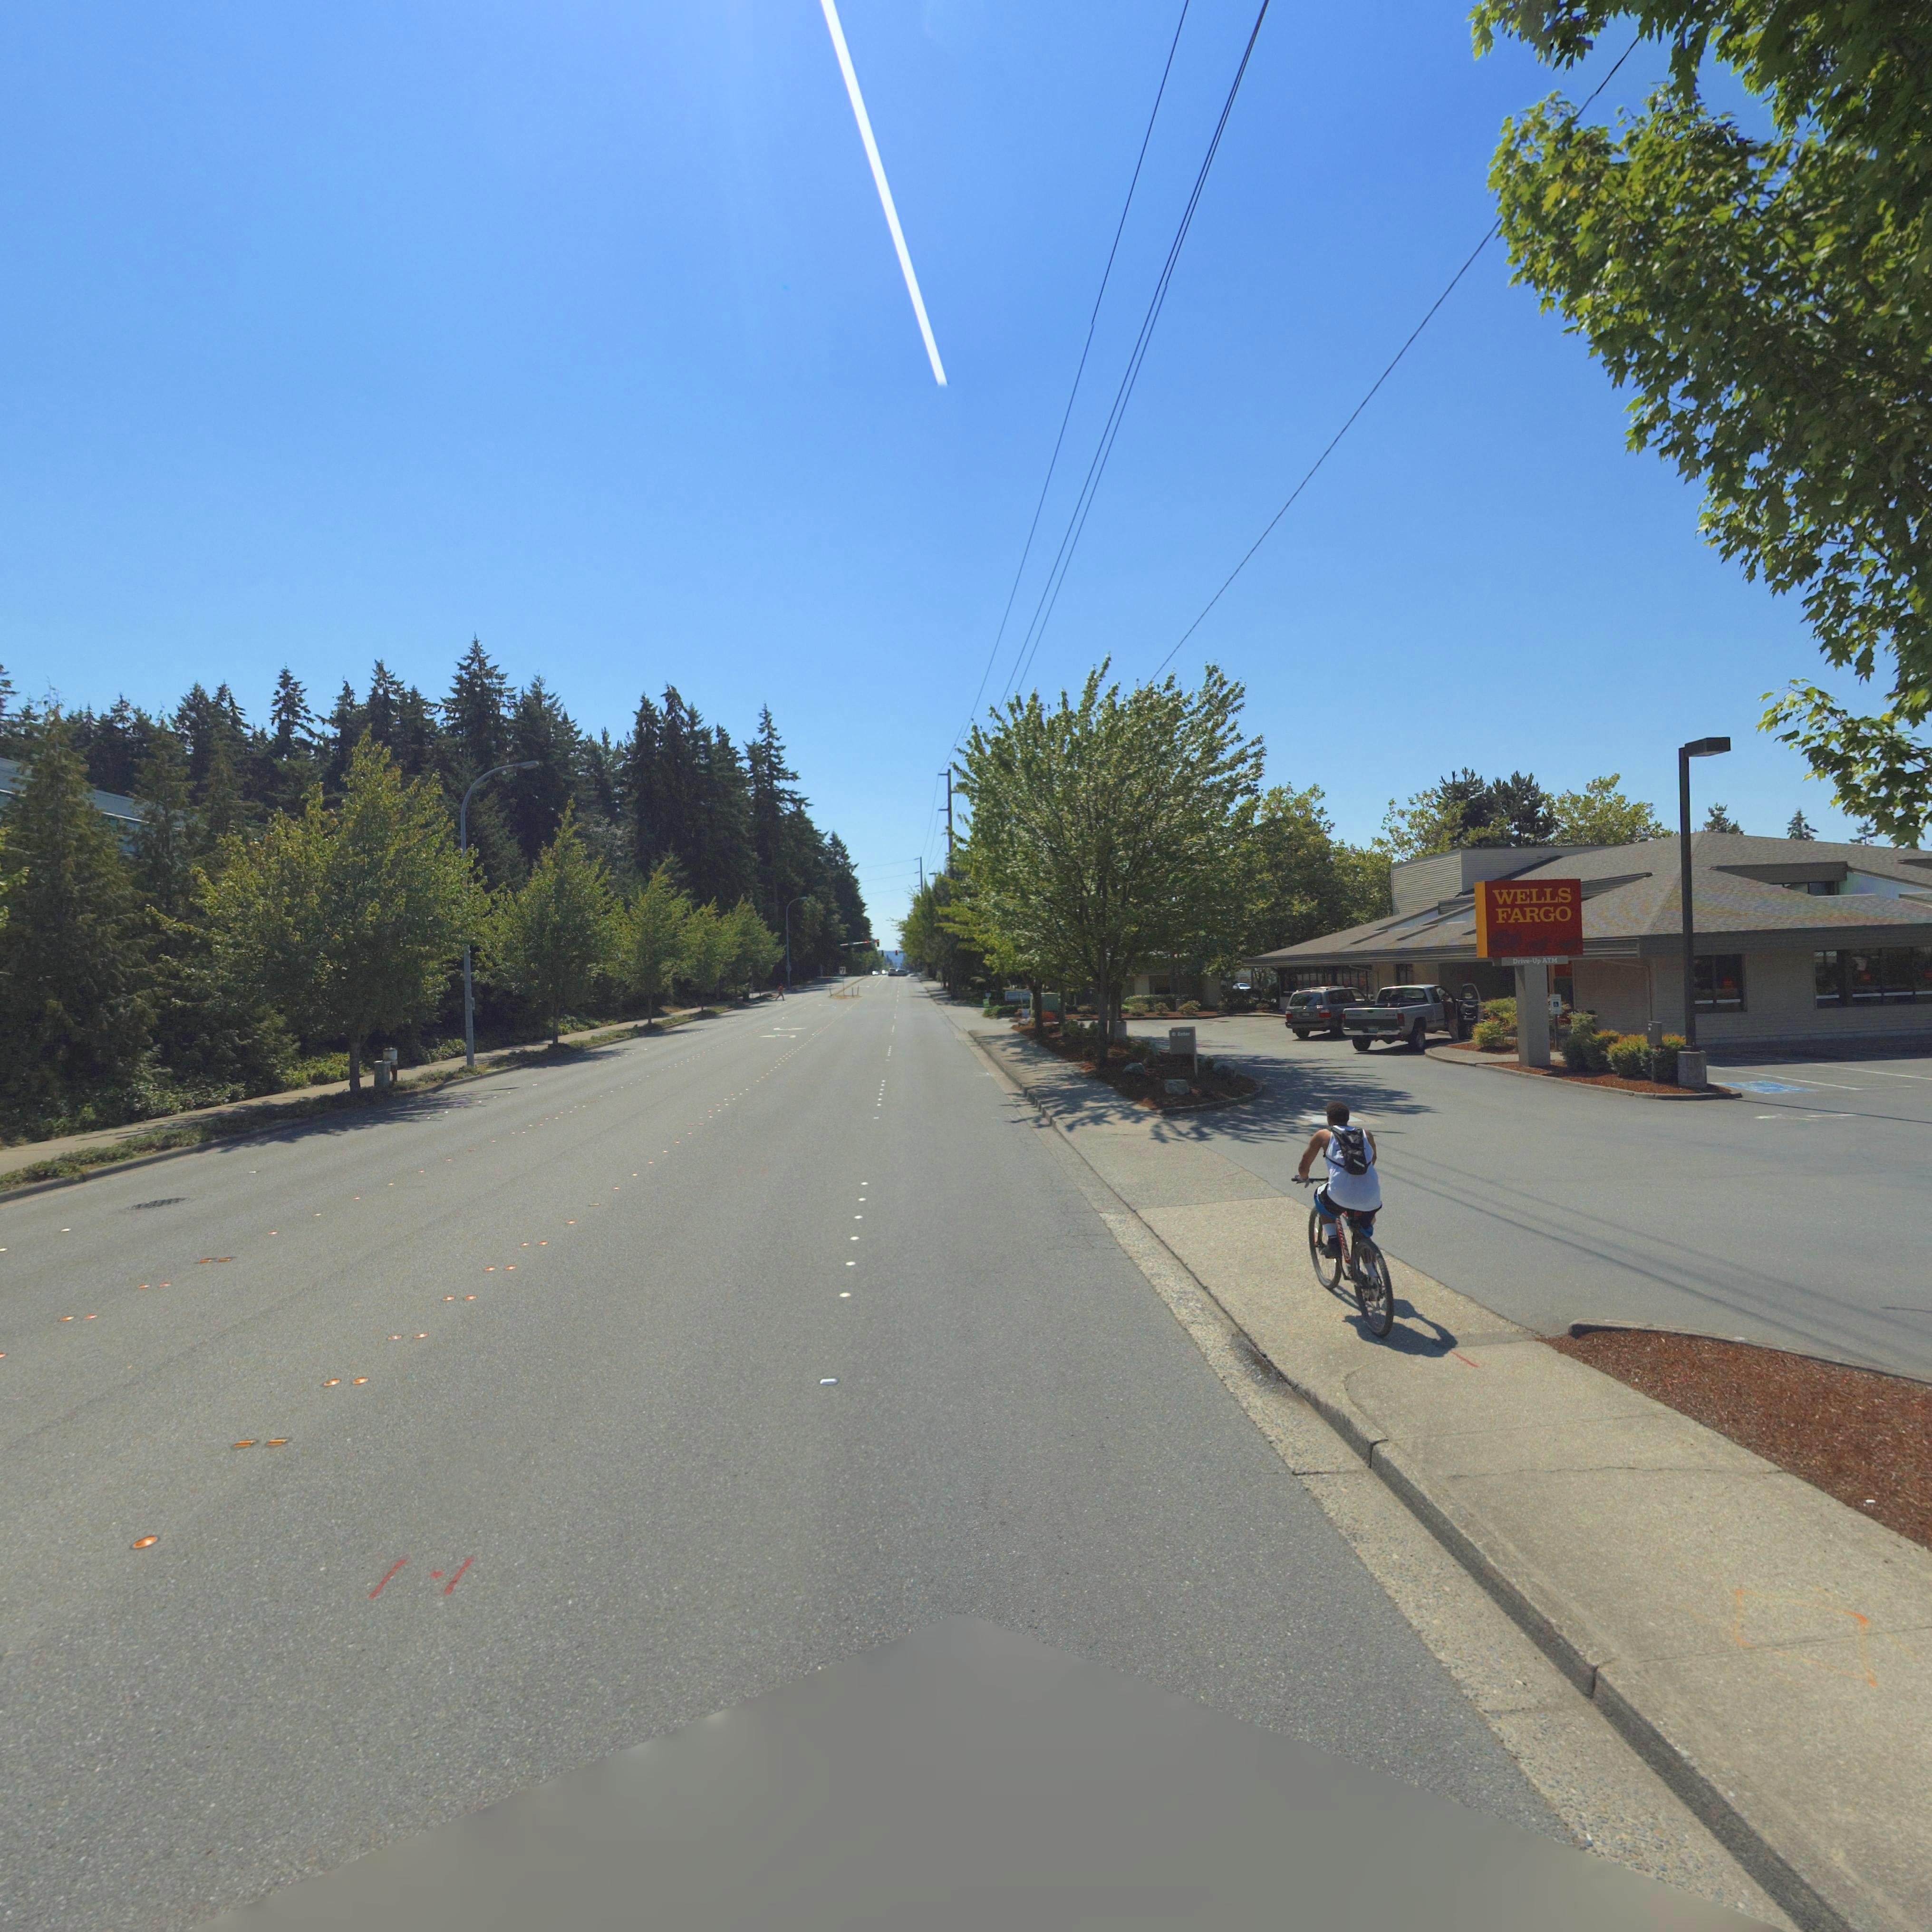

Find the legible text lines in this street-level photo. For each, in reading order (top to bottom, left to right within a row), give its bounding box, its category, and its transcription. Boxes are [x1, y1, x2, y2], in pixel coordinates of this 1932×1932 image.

[1491, 888, 1571, 904] BusinessName: WELLS
[1495, 905, 1572, 924] BusinessName: FARGO